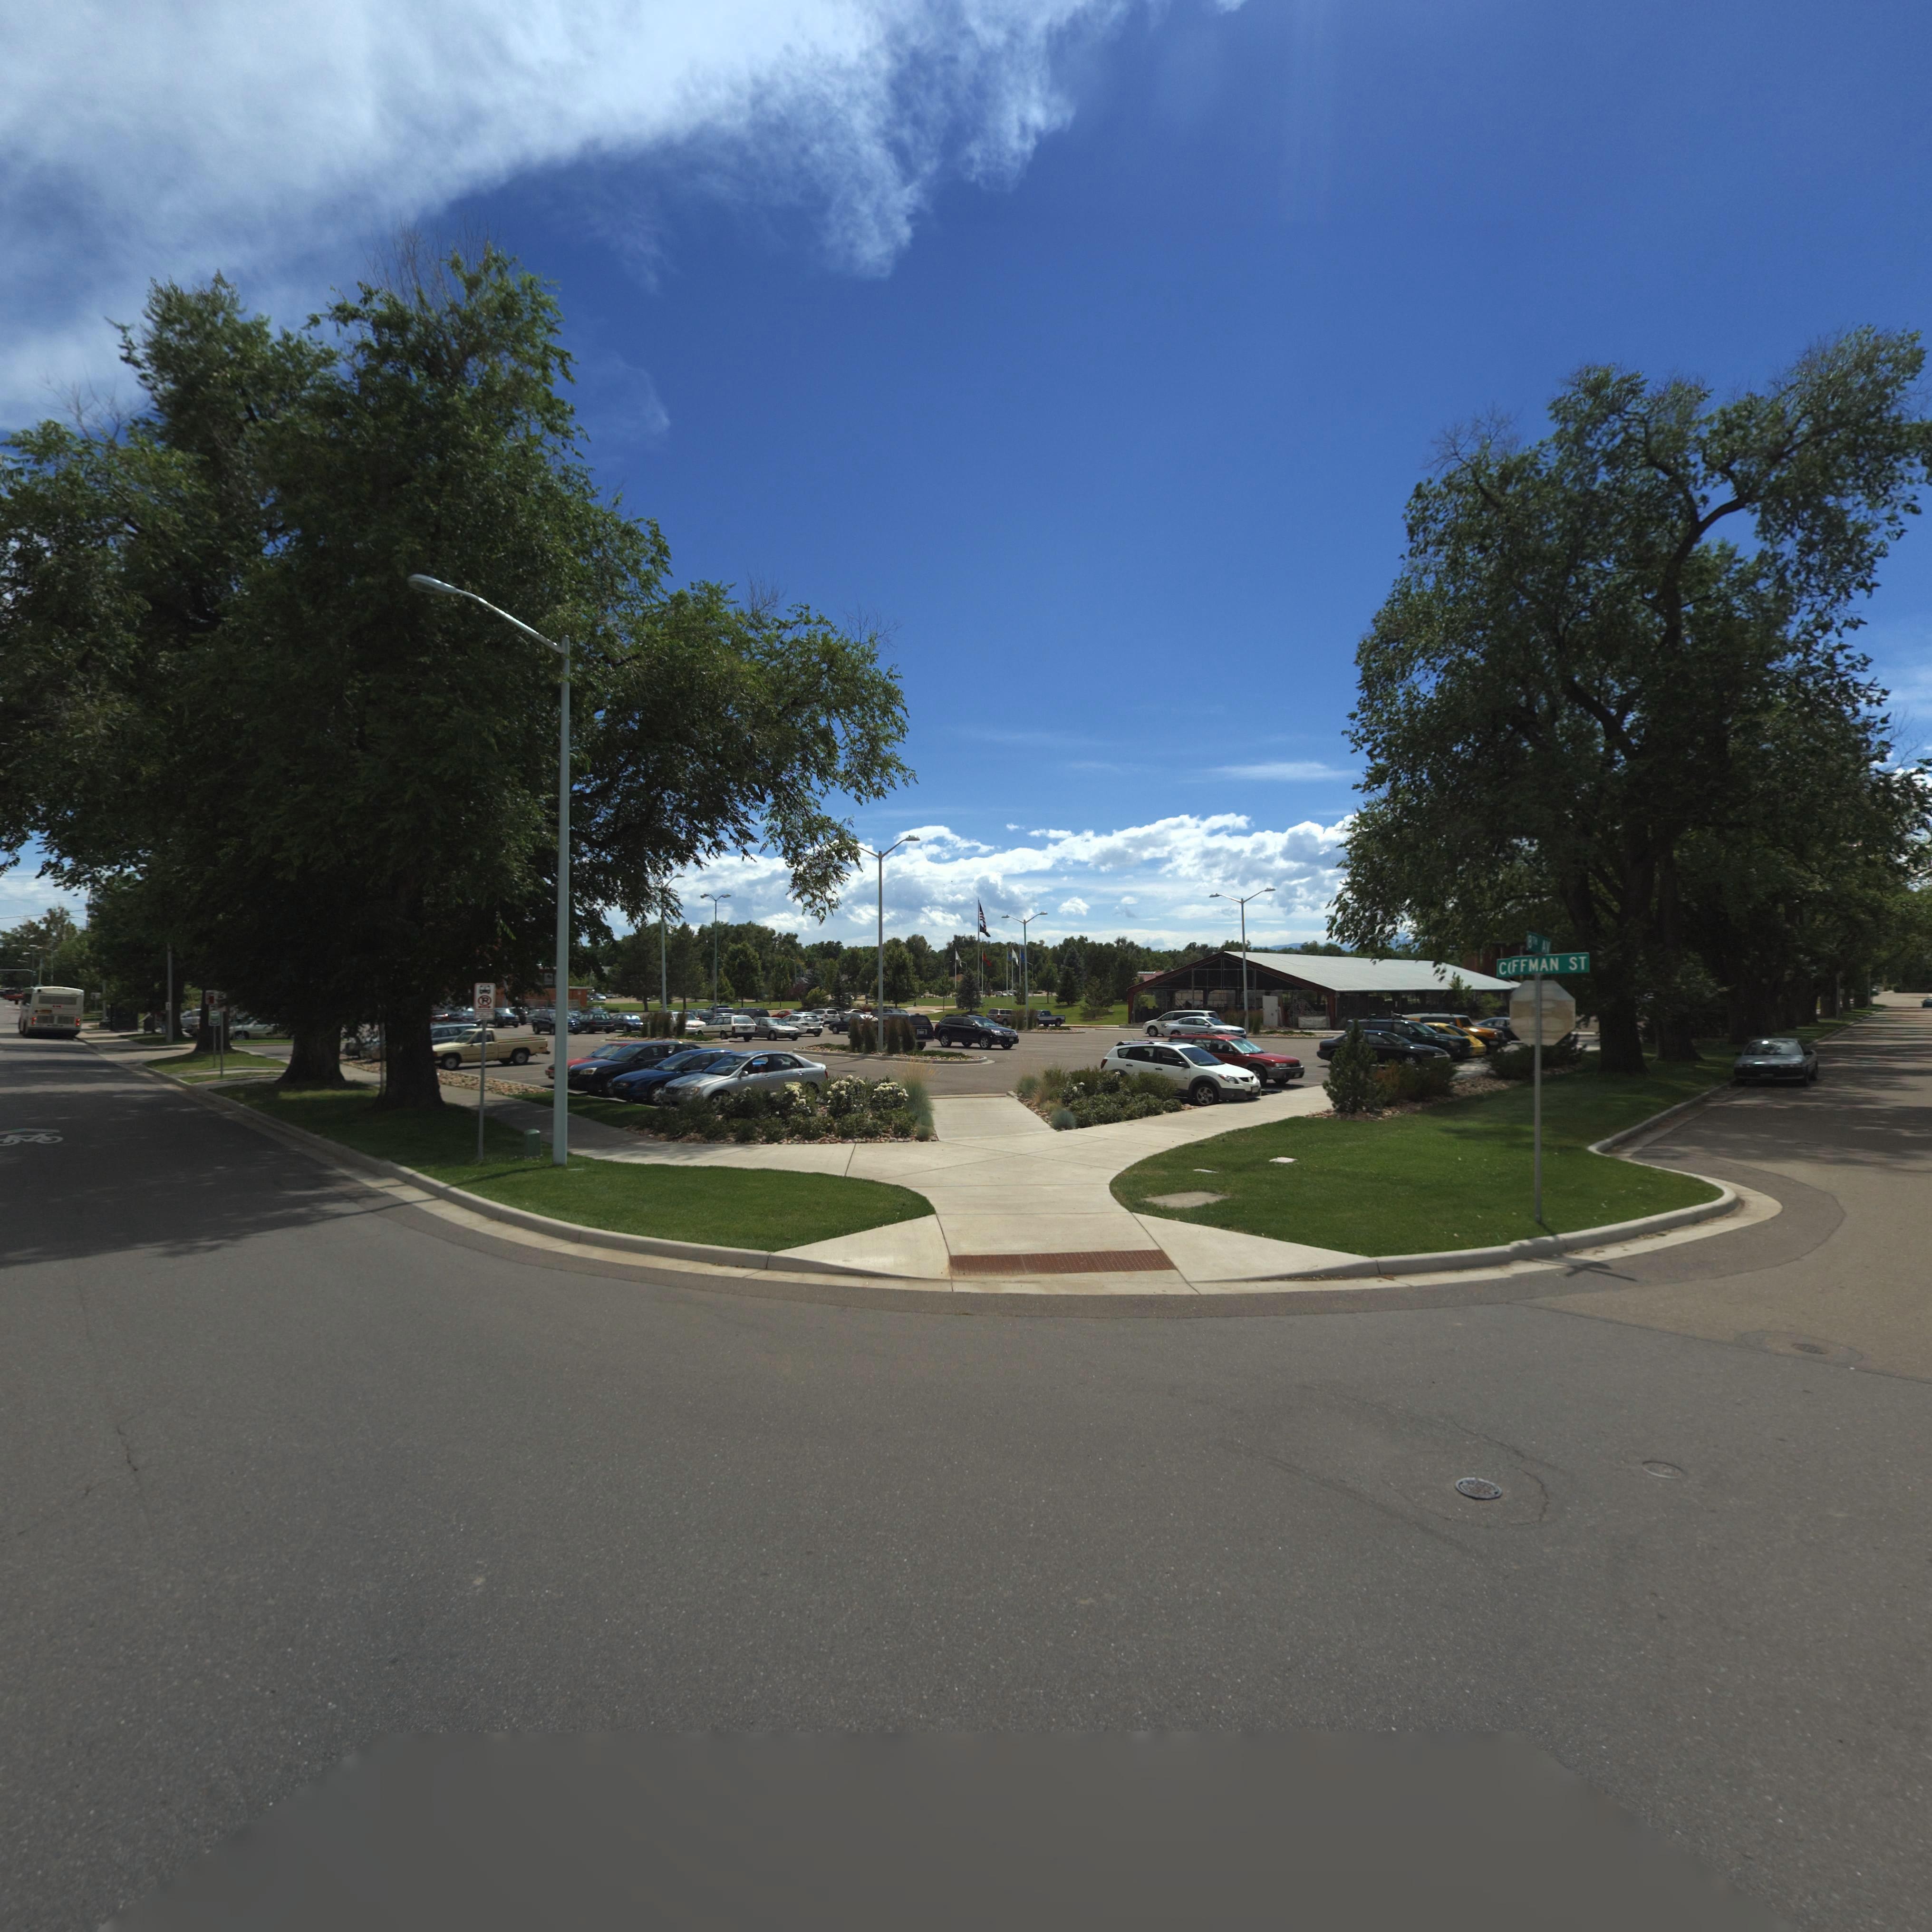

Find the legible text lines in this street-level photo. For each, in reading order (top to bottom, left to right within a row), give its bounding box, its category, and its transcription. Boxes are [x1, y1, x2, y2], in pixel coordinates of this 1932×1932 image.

[1526, 933, 1551, 954] StreetName: 8TH AV
[1497, 954, 1588, 976] StreetName: C*FFMAN ST